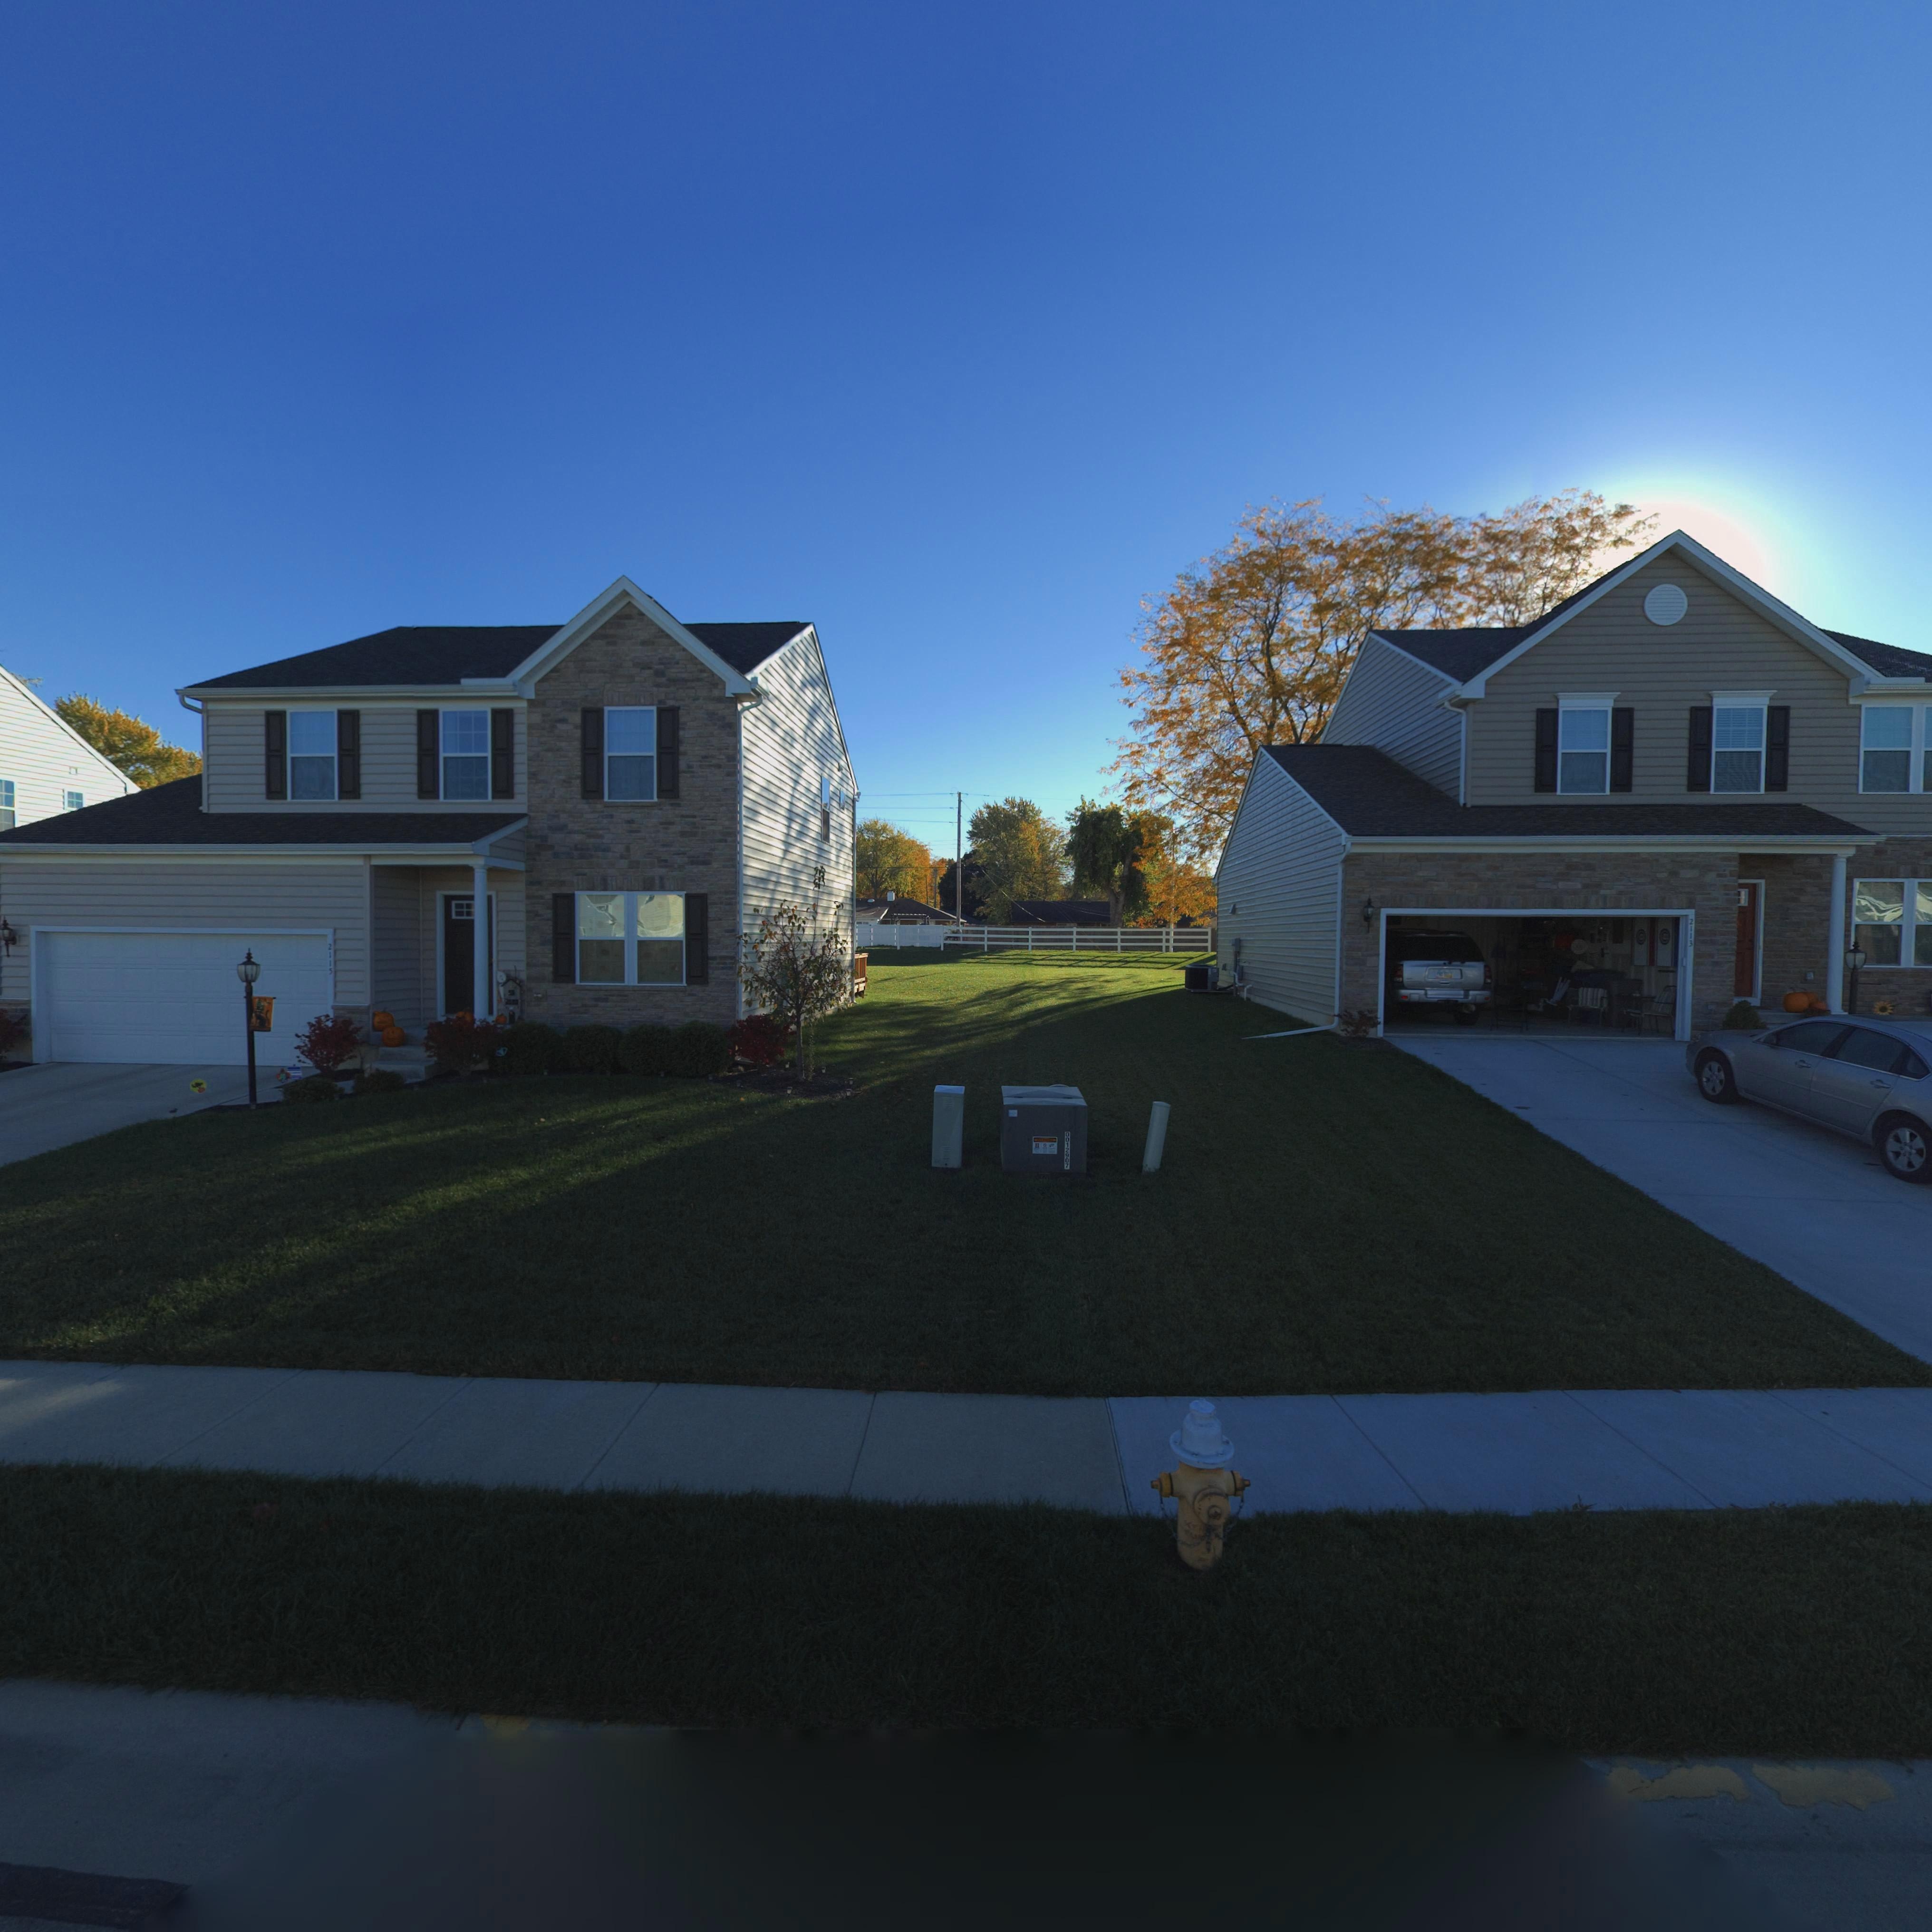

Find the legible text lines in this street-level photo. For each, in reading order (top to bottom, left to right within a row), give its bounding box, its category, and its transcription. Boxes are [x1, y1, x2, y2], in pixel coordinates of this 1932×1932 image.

[1688, 918, 1694, 947] StreetNumber: 2113
[327, 942, 334, 976] StreetNumber: 2115